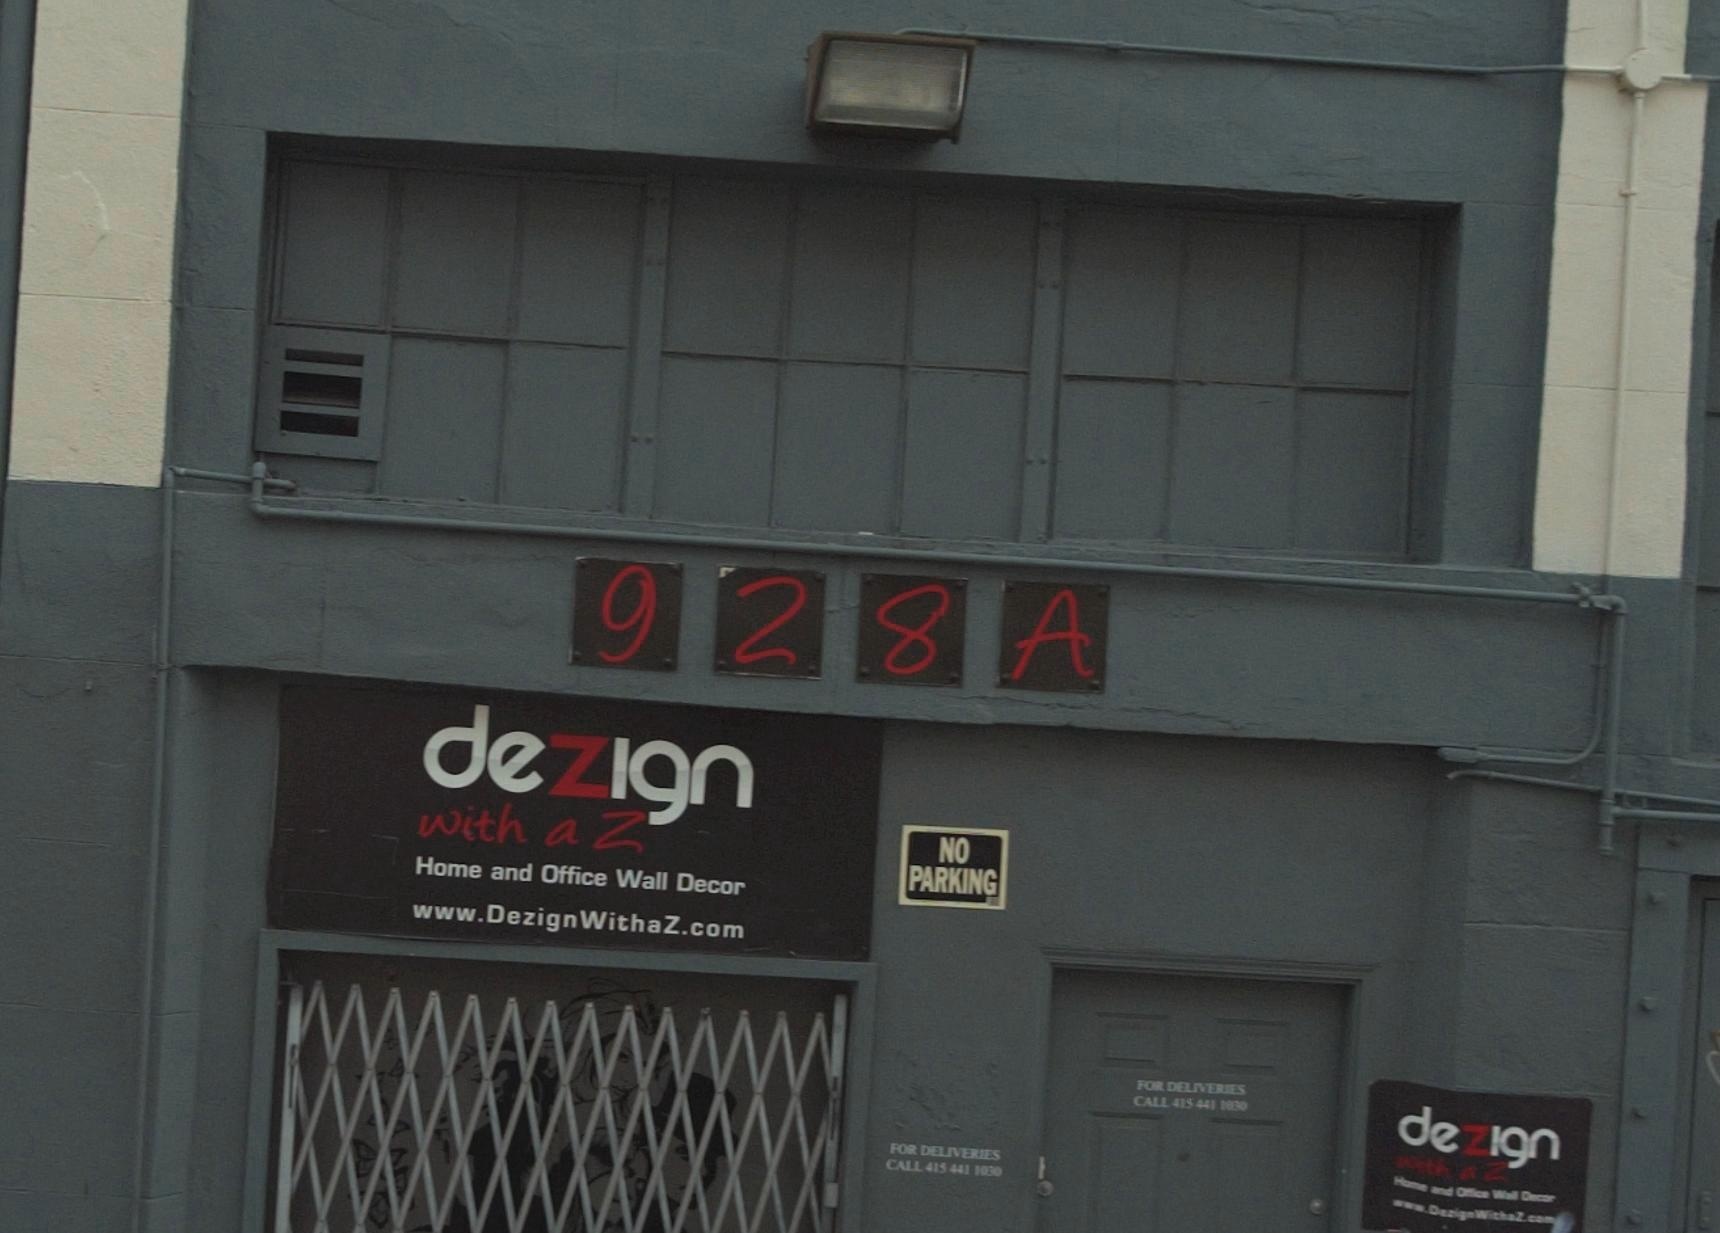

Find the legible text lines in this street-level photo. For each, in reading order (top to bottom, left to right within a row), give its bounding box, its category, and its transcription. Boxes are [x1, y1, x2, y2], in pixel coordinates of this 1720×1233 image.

[592, 561, 1099, 681] StreetNumber: 928A
[421, 702, 755, 812] BusinessName: dezign
[415, 800, 651, 852] BusinessName: with a Z
[938, 835, 971, 866] None: NO
[413, 854, 746, 897] None: HOME and Office Wall Decor
[907, 863, 998, 897] None: PARKING
[410, 902, 744, 940] None: www.DezignWithaZ.com
[1131, 1094, 1249, 1113] None: CALL 415 441 1030
[1135, 1078, 1248, 1096] None: FOR DELIVERIES
[884, 1157, 1003, 1178] None: CALL 415 441 1030
[889, 1141, 1002, 1162] None: FOR DELIVERIES
[1395, 1104, 1561, 1170] BusinessName: dezign
[1391, 1174, 1557, 1203] None: Home and Office Wall Decor